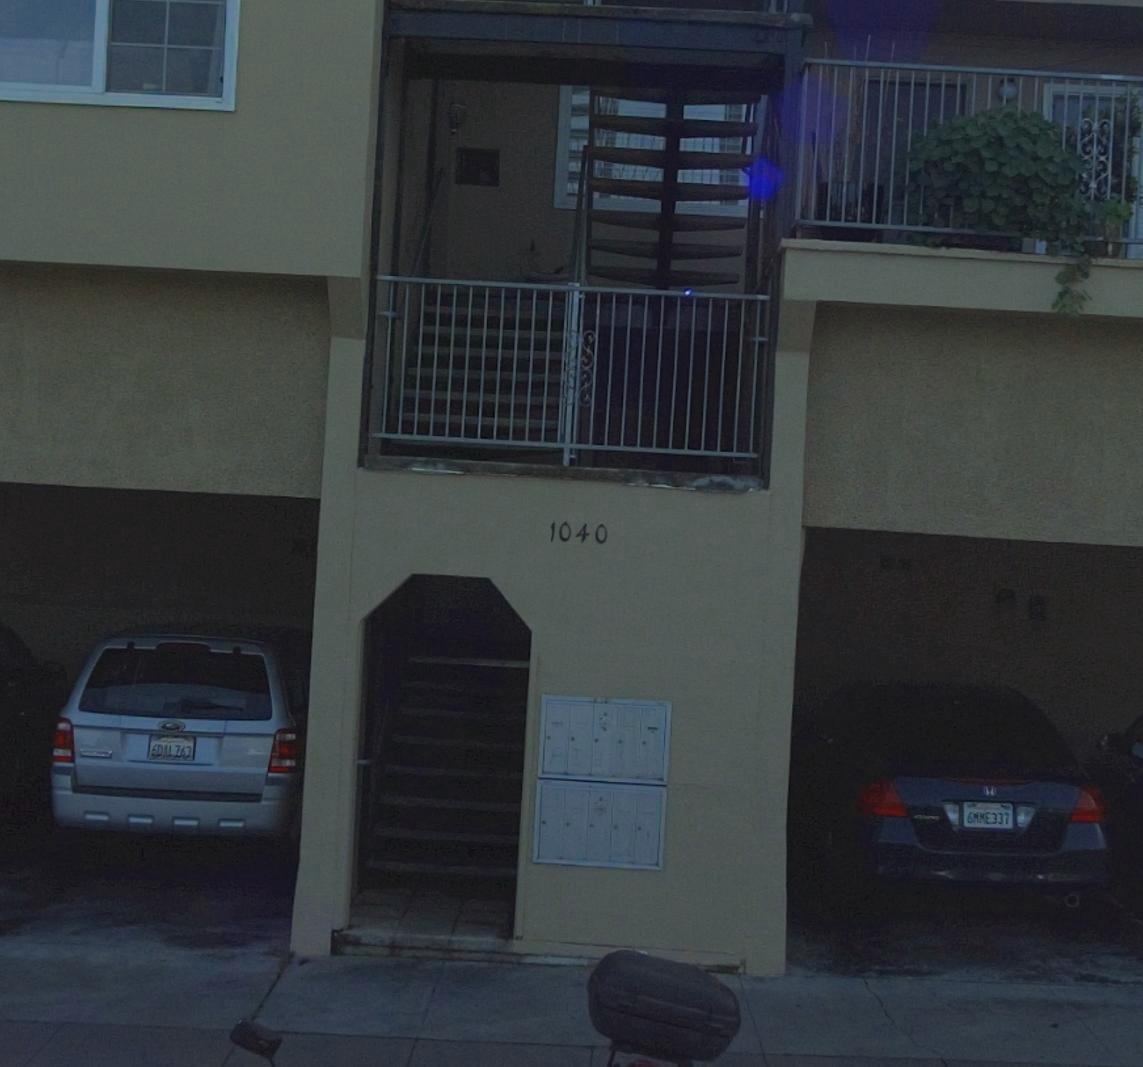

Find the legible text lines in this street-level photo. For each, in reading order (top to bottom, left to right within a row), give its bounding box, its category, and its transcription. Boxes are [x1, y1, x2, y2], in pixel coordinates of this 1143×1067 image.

[547, 518, 611, 547] StreetNumber: 1040
[149, 741, 194, 759] None: 6DA* 763
[964, 807, 1012, 827] None: 6**E337